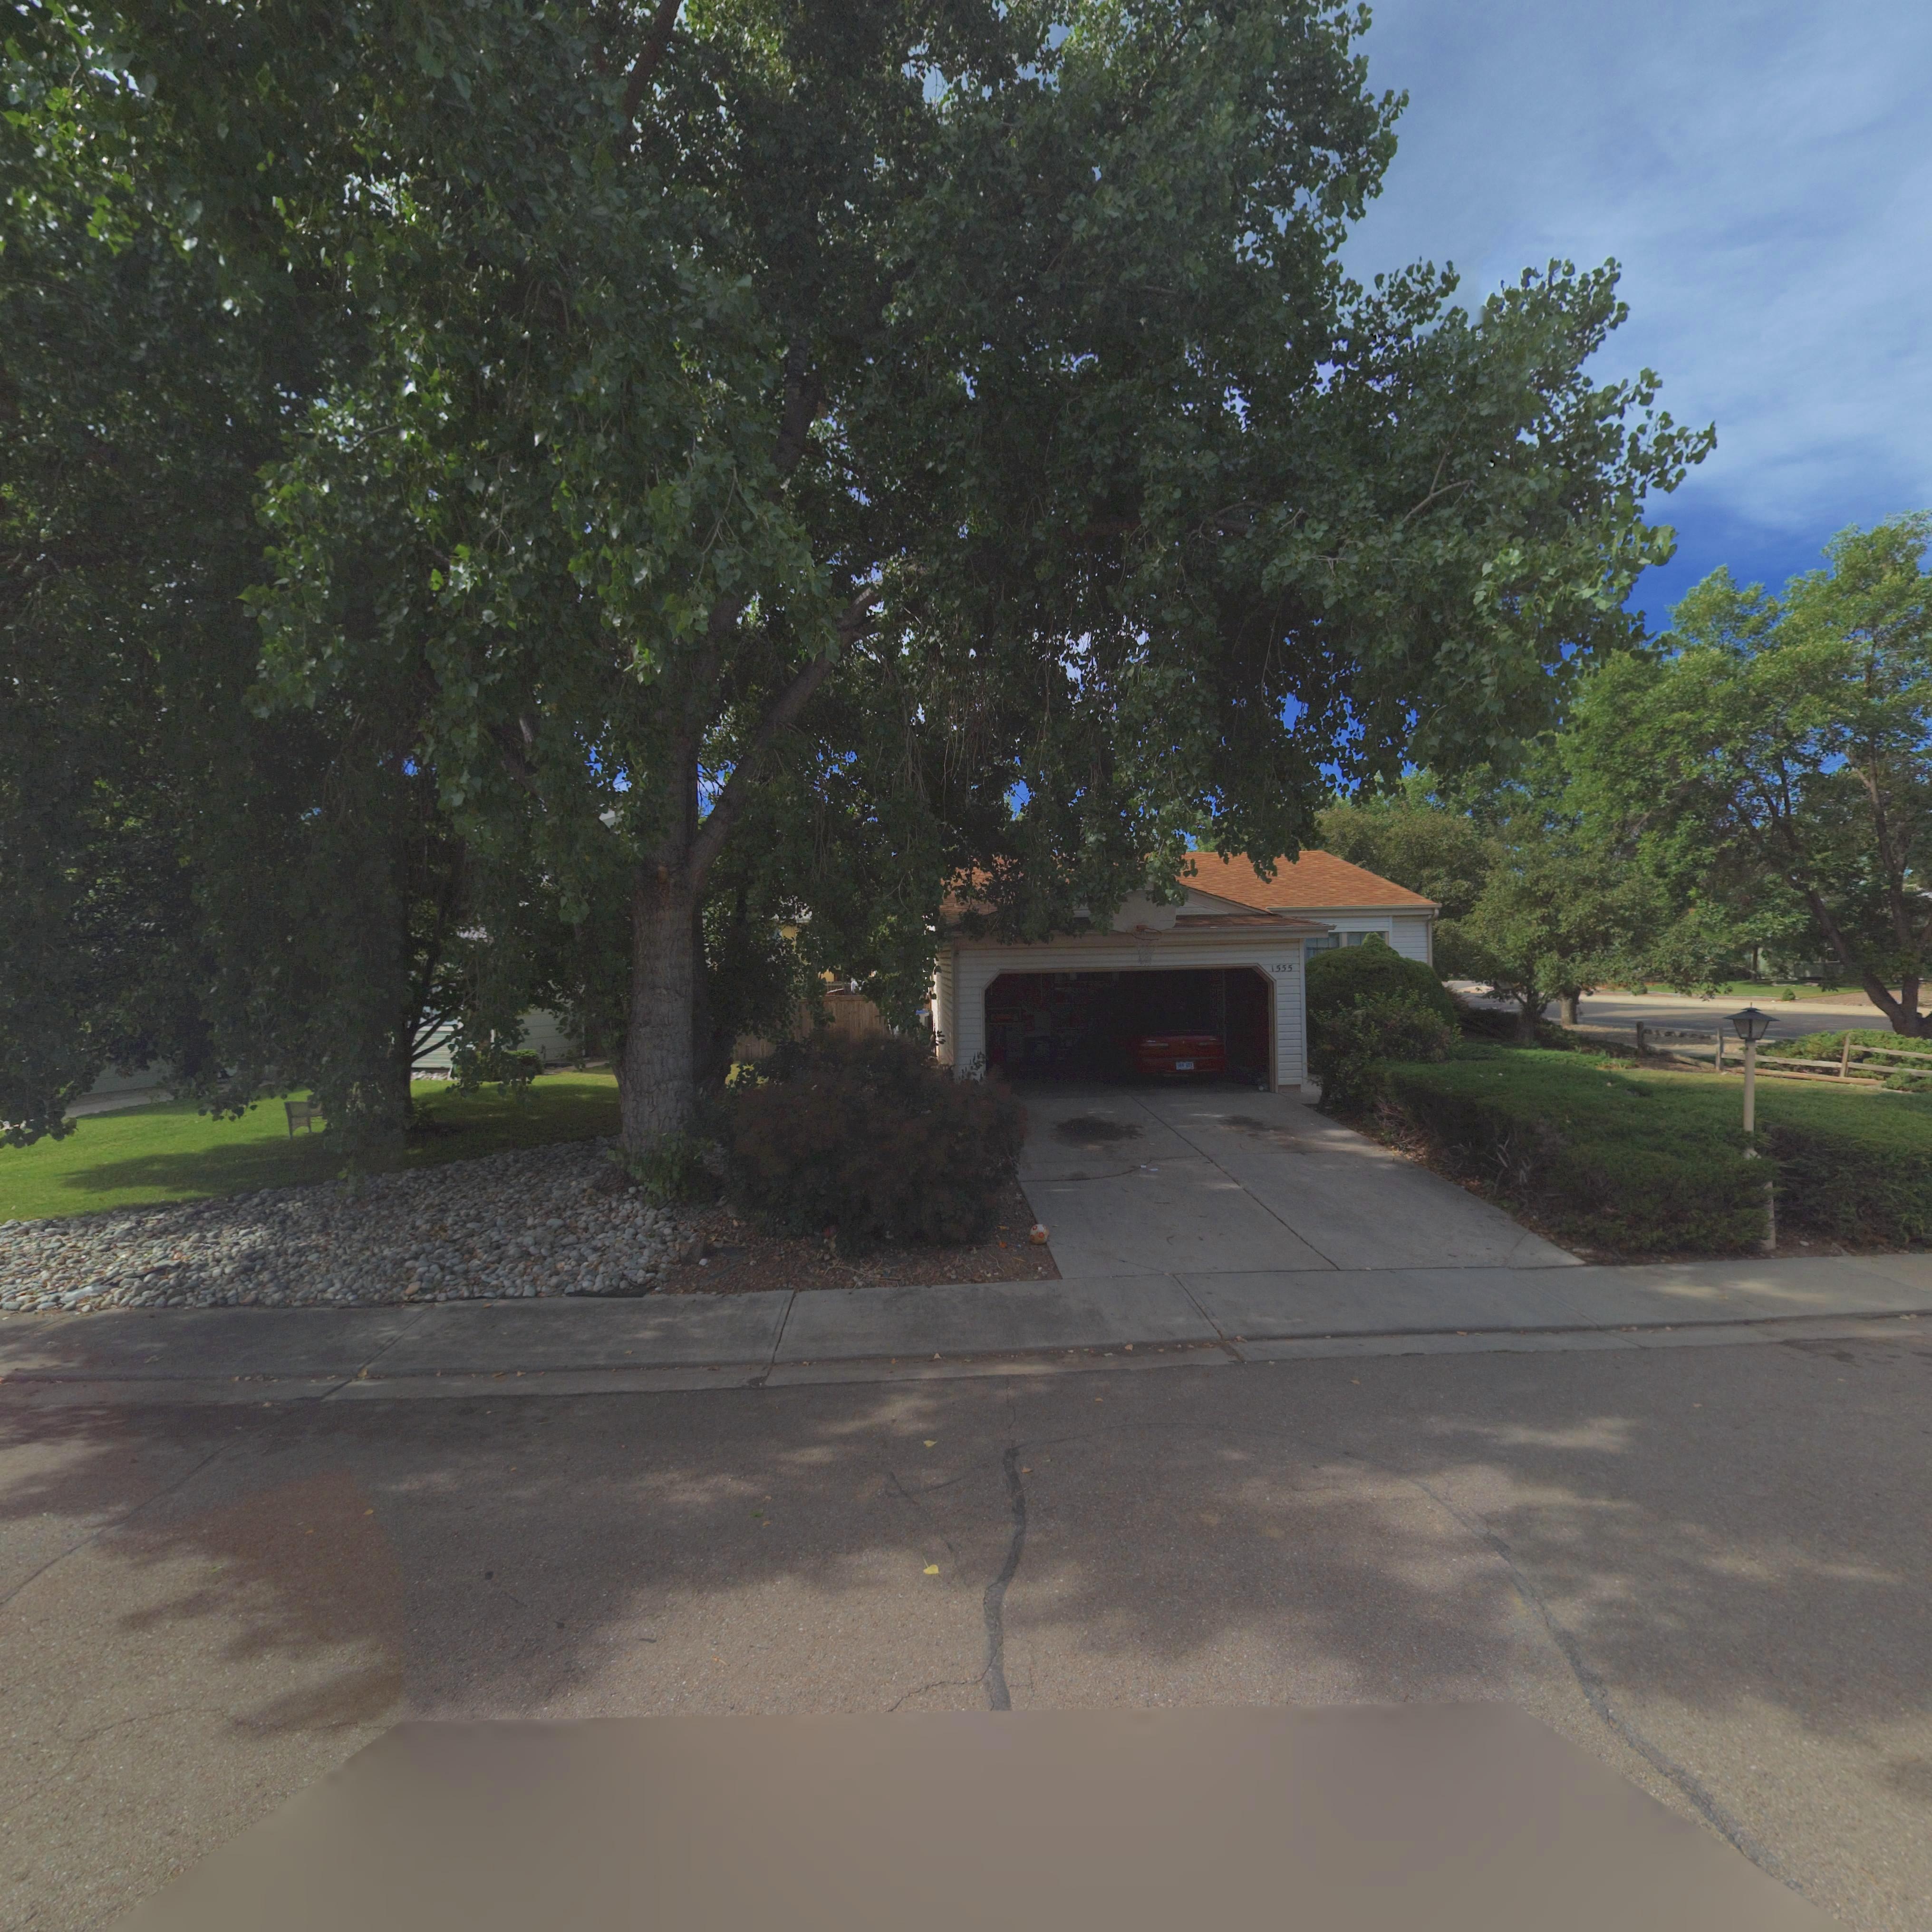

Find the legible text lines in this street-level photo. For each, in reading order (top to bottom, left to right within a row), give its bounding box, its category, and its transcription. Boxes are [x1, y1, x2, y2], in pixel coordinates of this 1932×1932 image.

[1271, 964, 1293, 972] StreetNumber: 1555